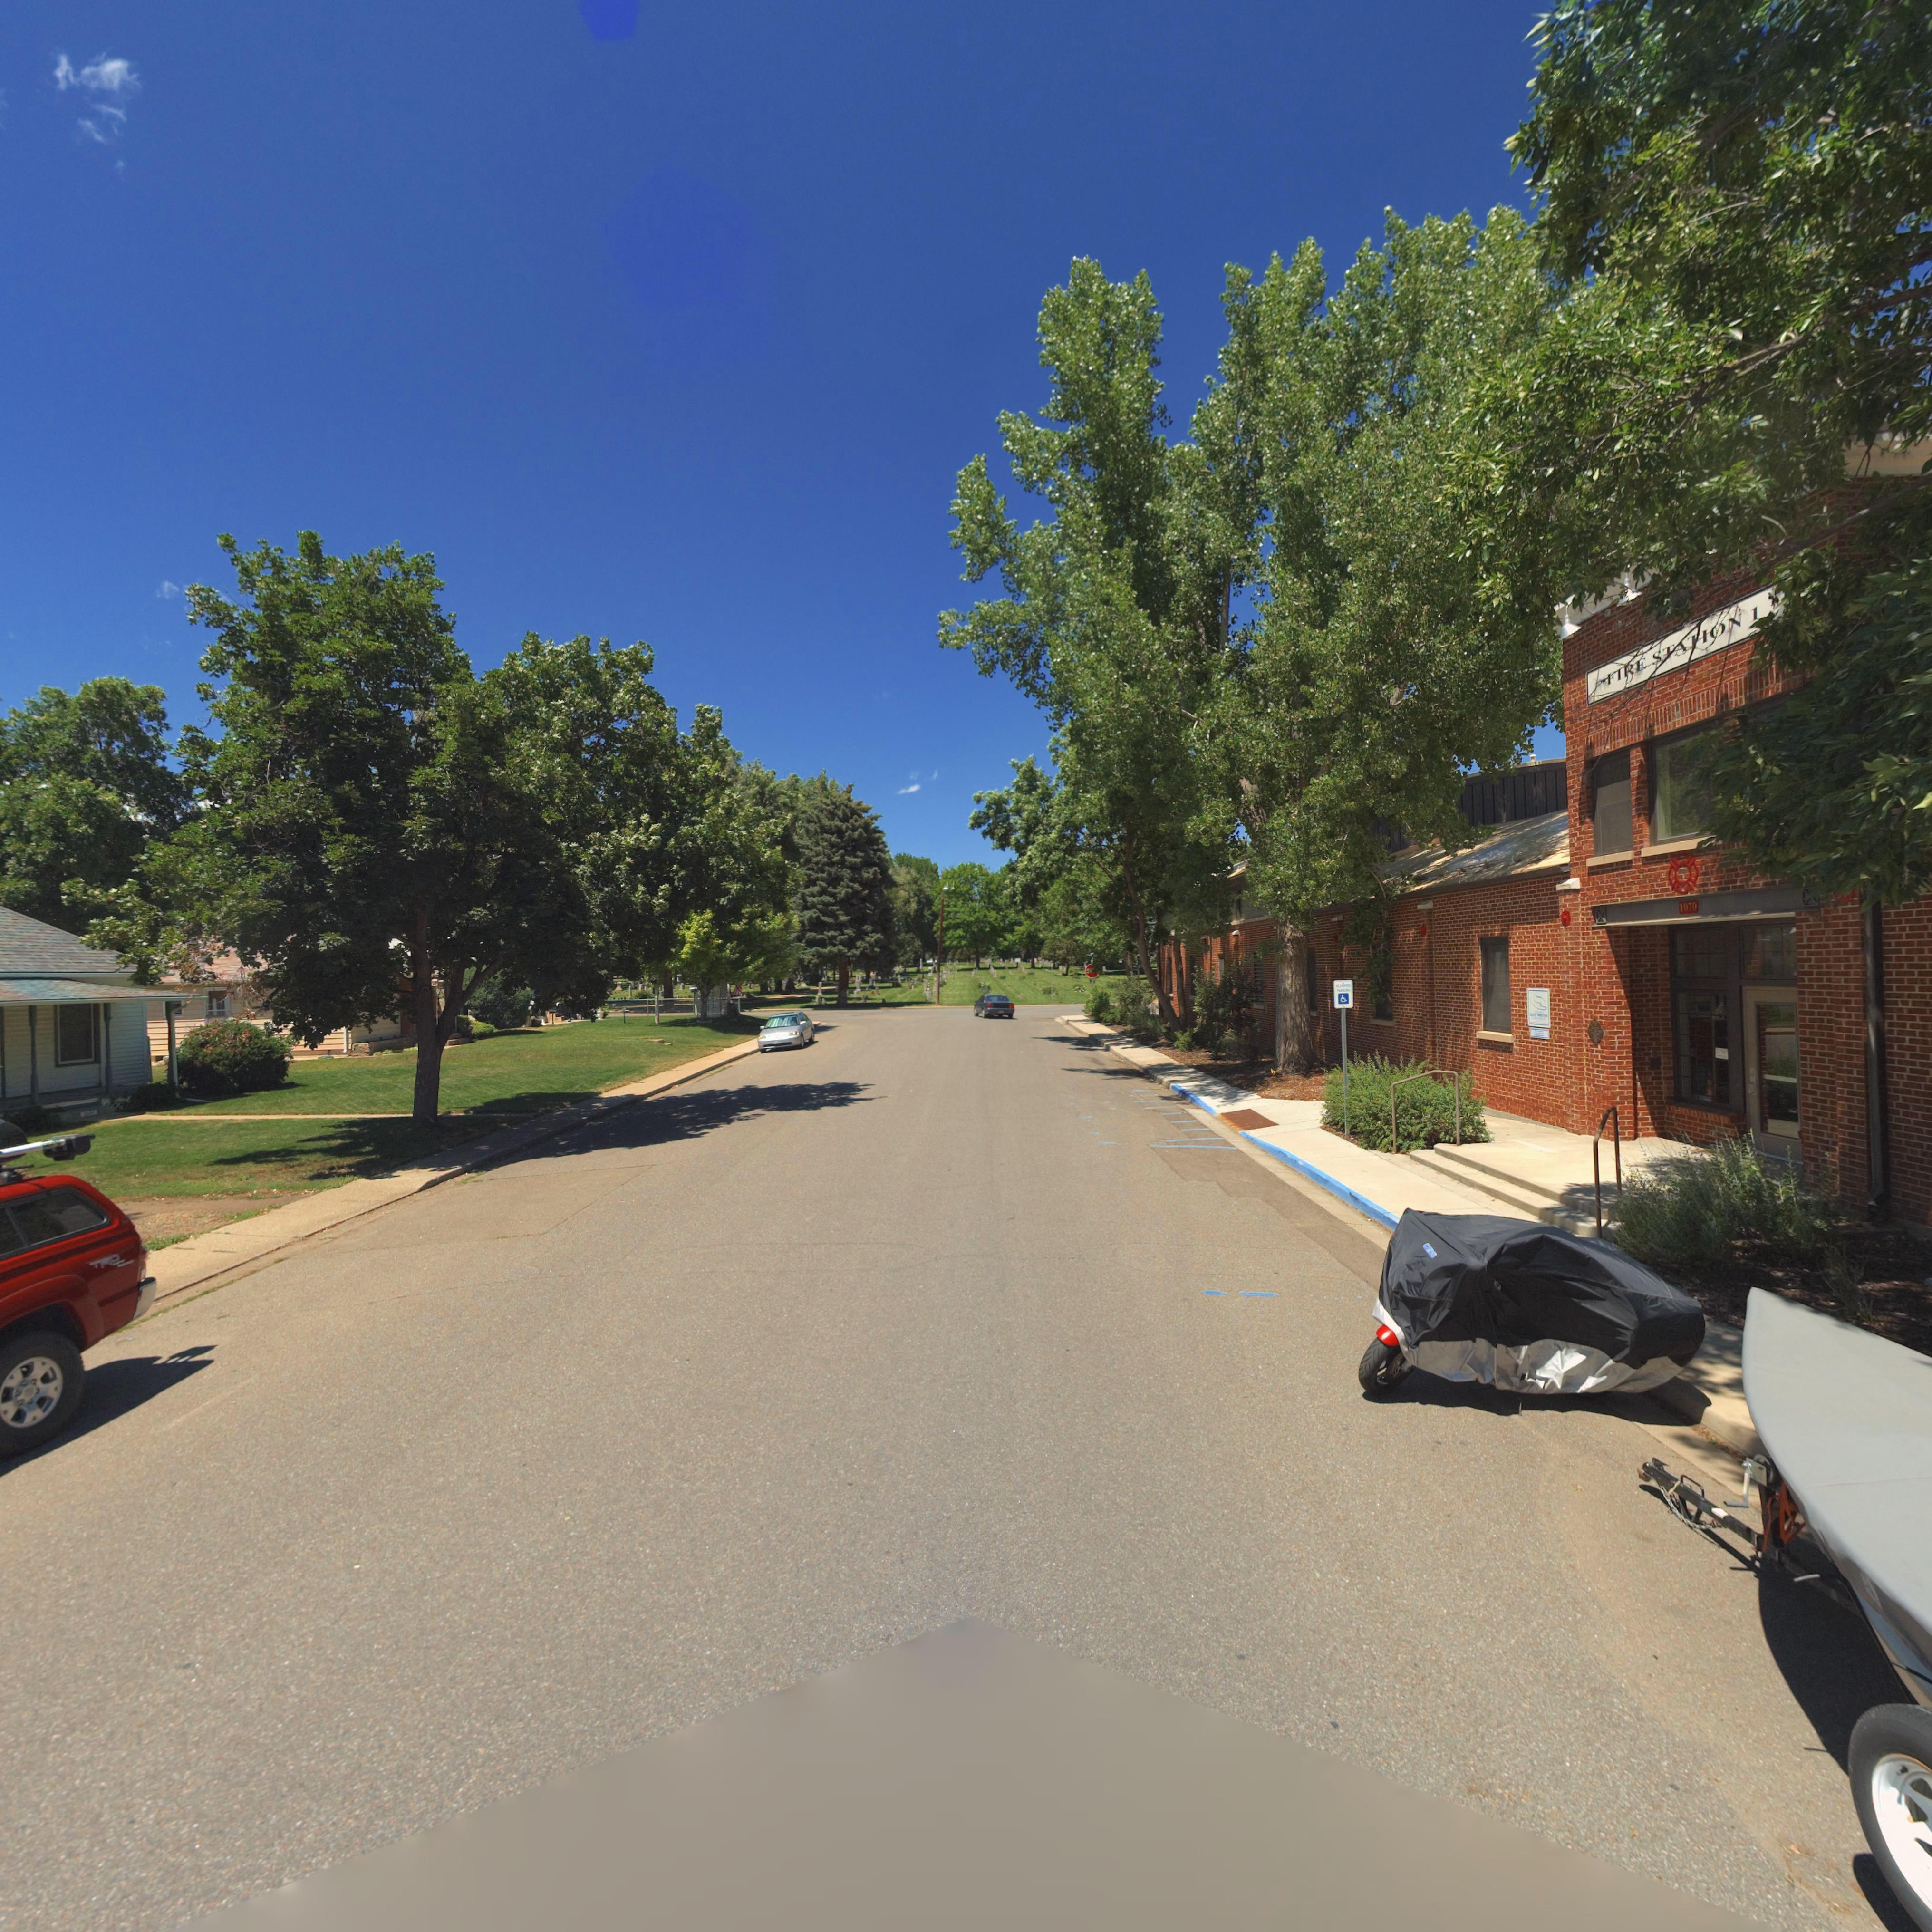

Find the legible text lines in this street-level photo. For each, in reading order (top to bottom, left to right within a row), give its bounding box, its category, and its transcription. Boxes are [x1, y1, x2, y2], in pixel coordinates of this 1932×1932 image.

[1606, 605, 1759, 685] BusinessName: FIRE STA*ION 1
[1679, 901, 1697, 912] StreetNumber: 1070